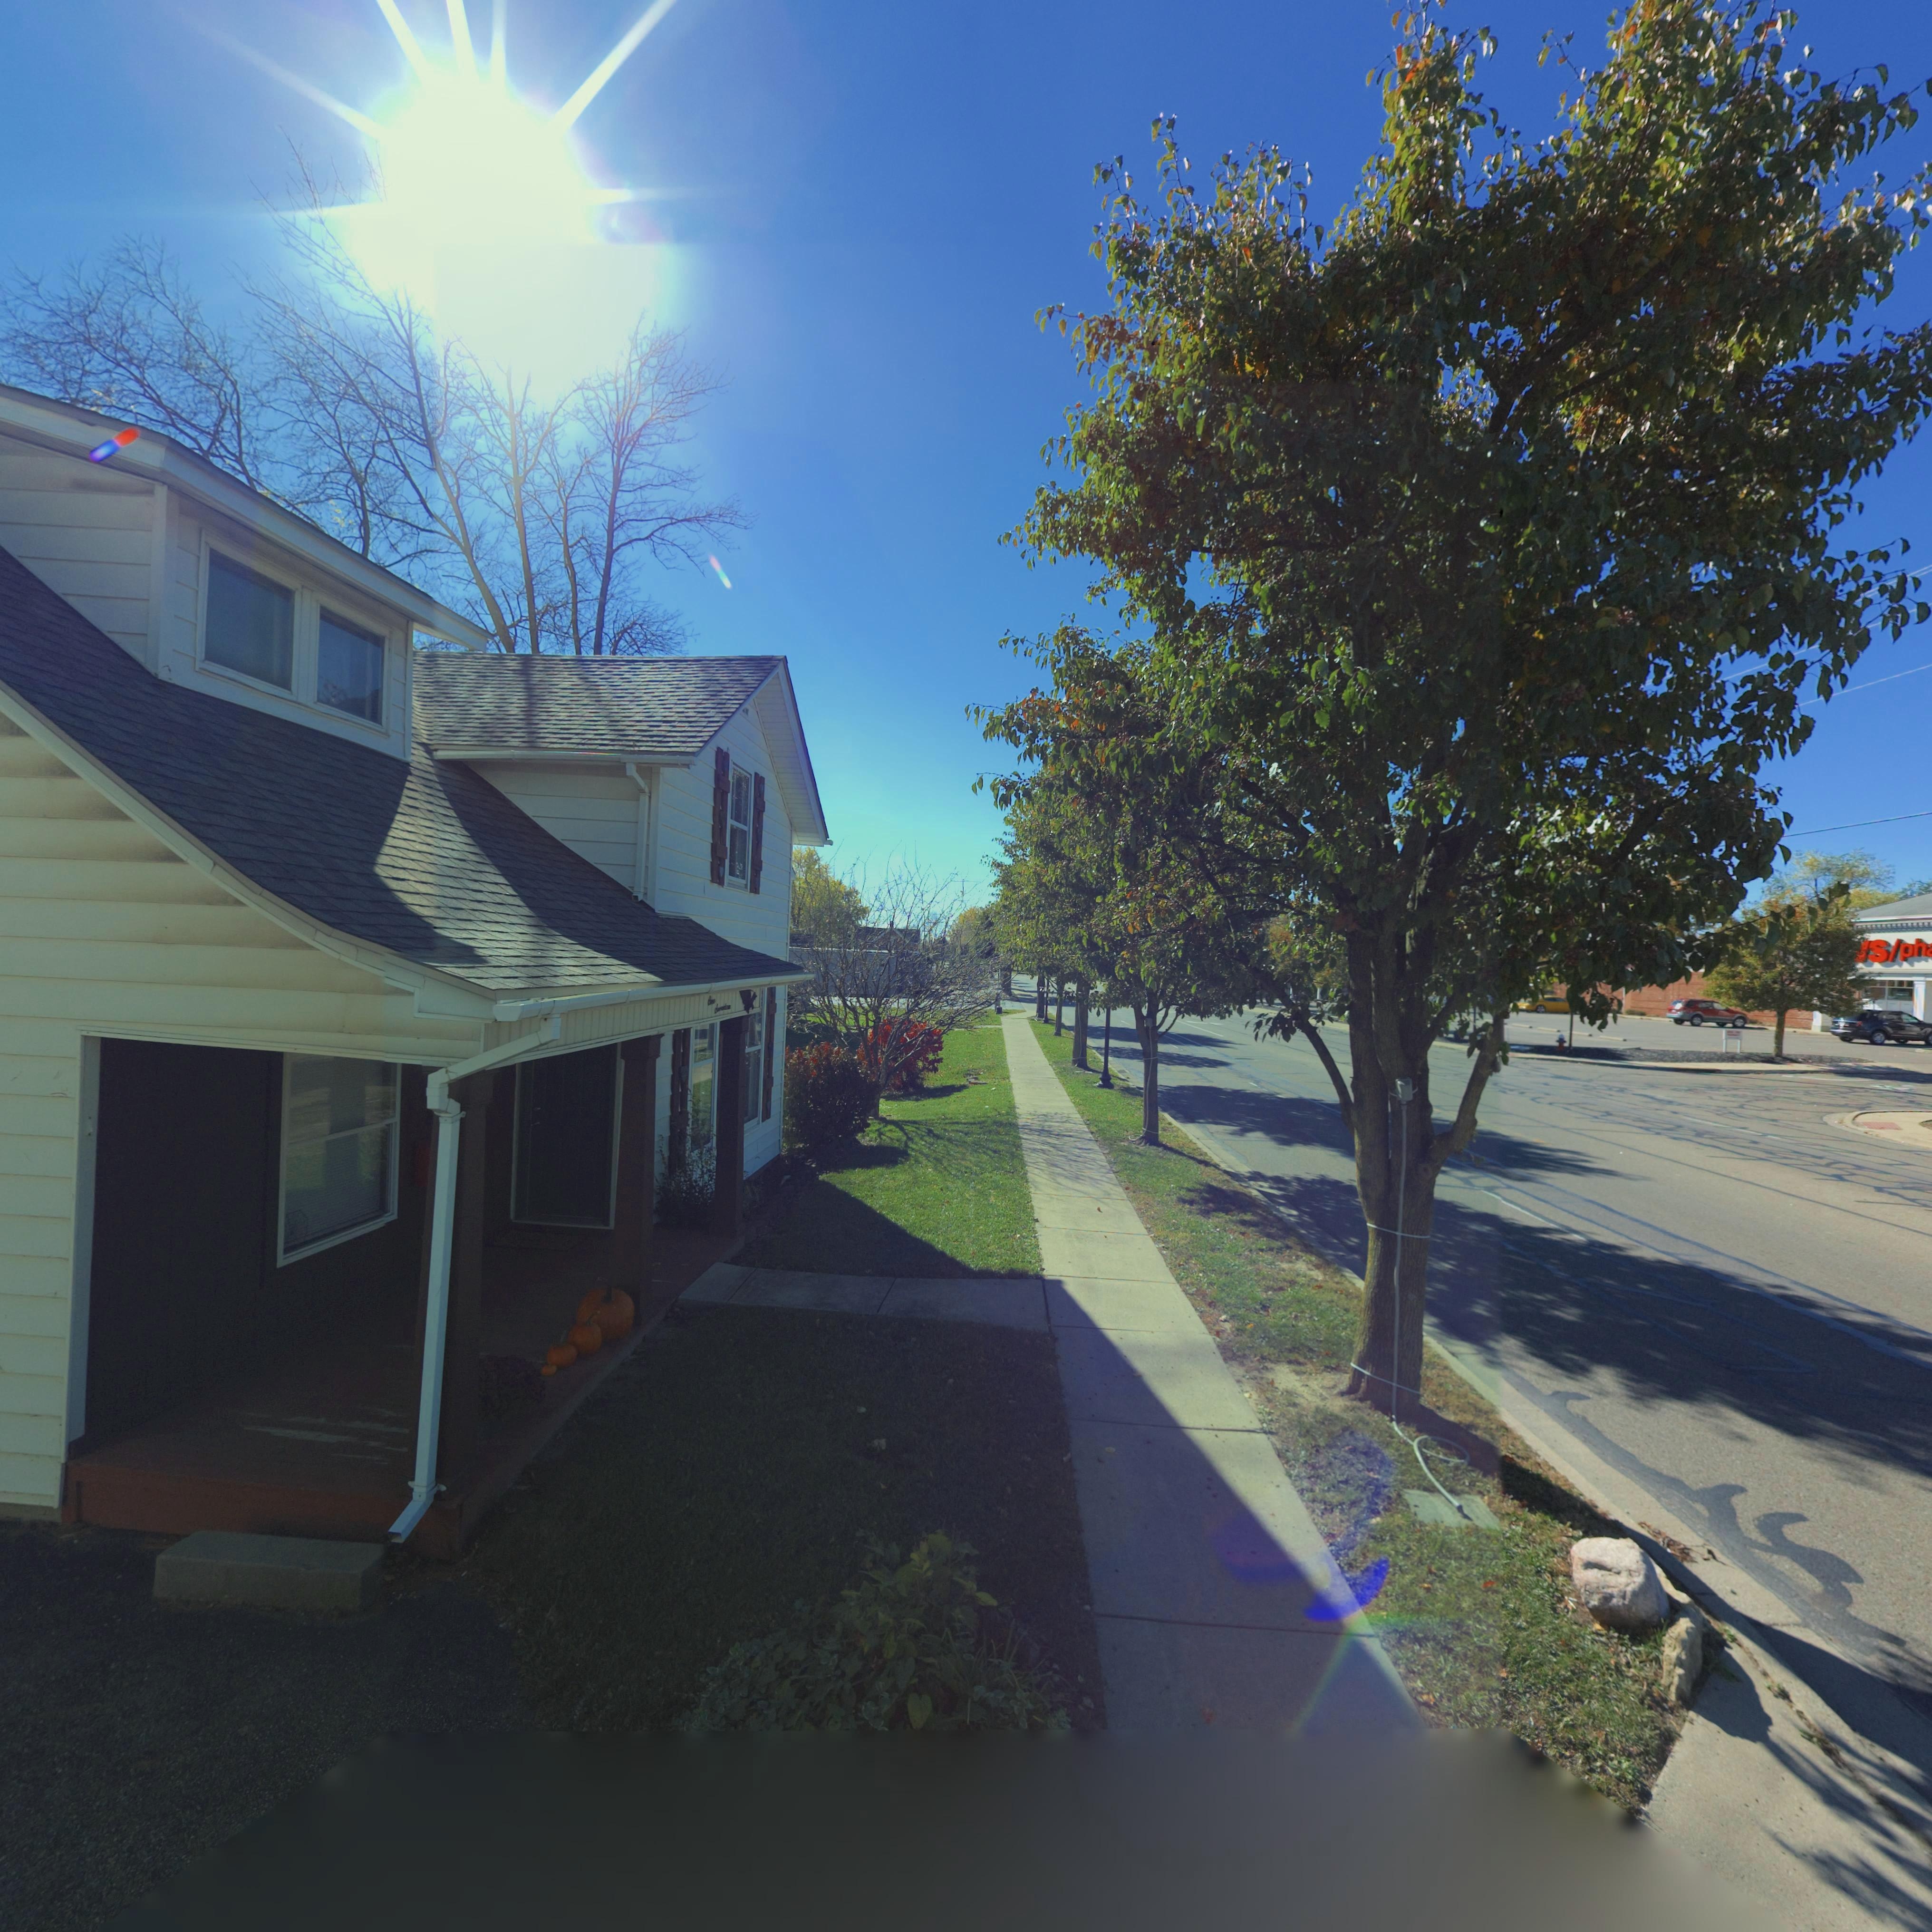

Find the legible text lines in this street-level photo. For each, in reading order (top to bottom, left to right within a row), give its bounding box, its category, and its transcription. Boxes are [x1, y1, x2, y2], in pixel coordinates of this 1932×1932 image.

[707, 995, 716, 1006] StreetNumber: One